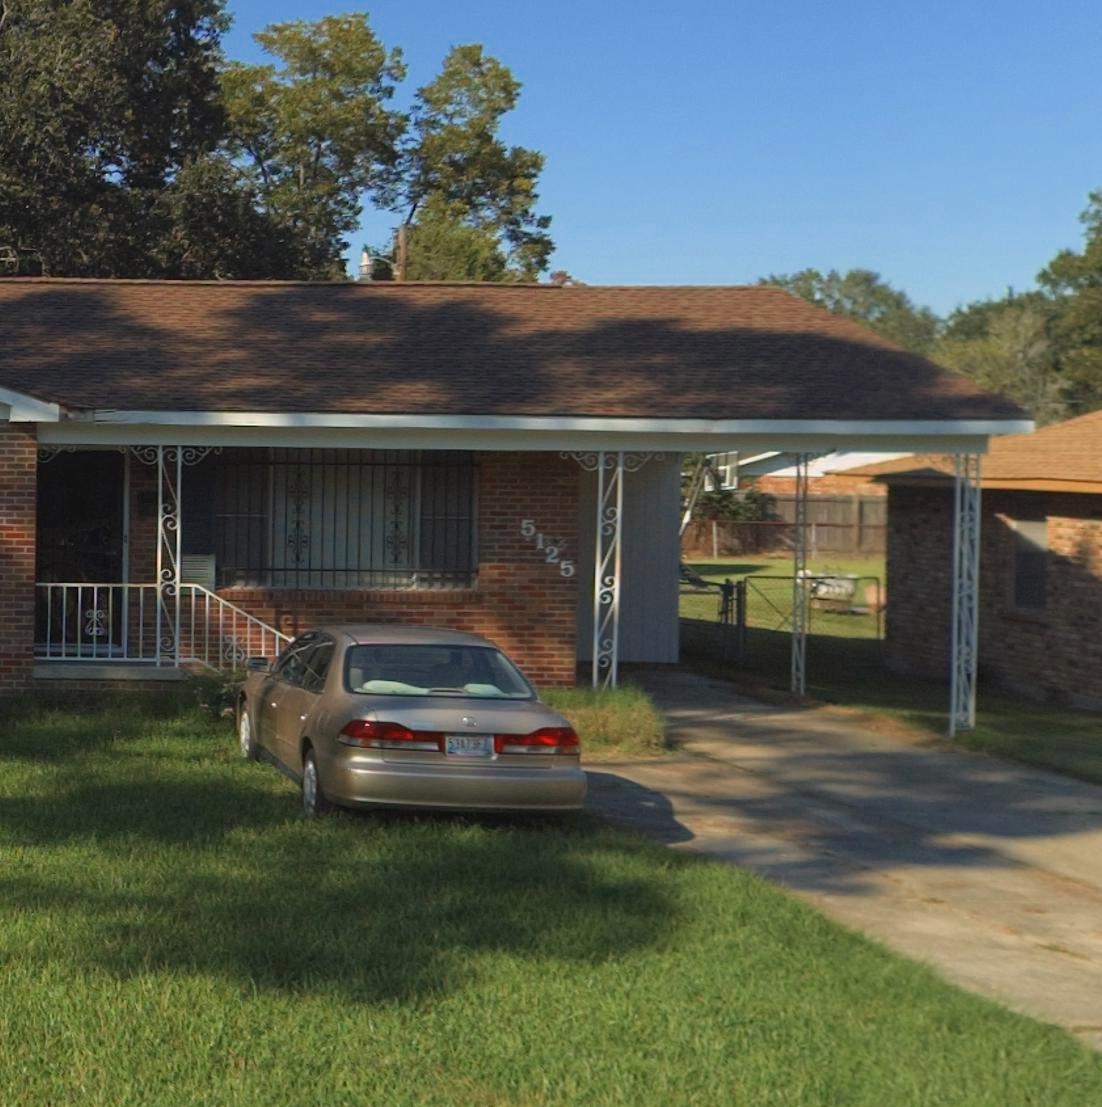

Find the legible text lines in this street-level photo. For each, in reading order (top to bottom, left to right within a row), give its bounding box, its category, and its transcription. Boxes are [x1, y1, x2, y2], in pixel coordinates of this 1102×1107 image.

[519, 518, 575, 578] StreetNumber: 5125
[447, 737, 488, 751] None: 53A73F7